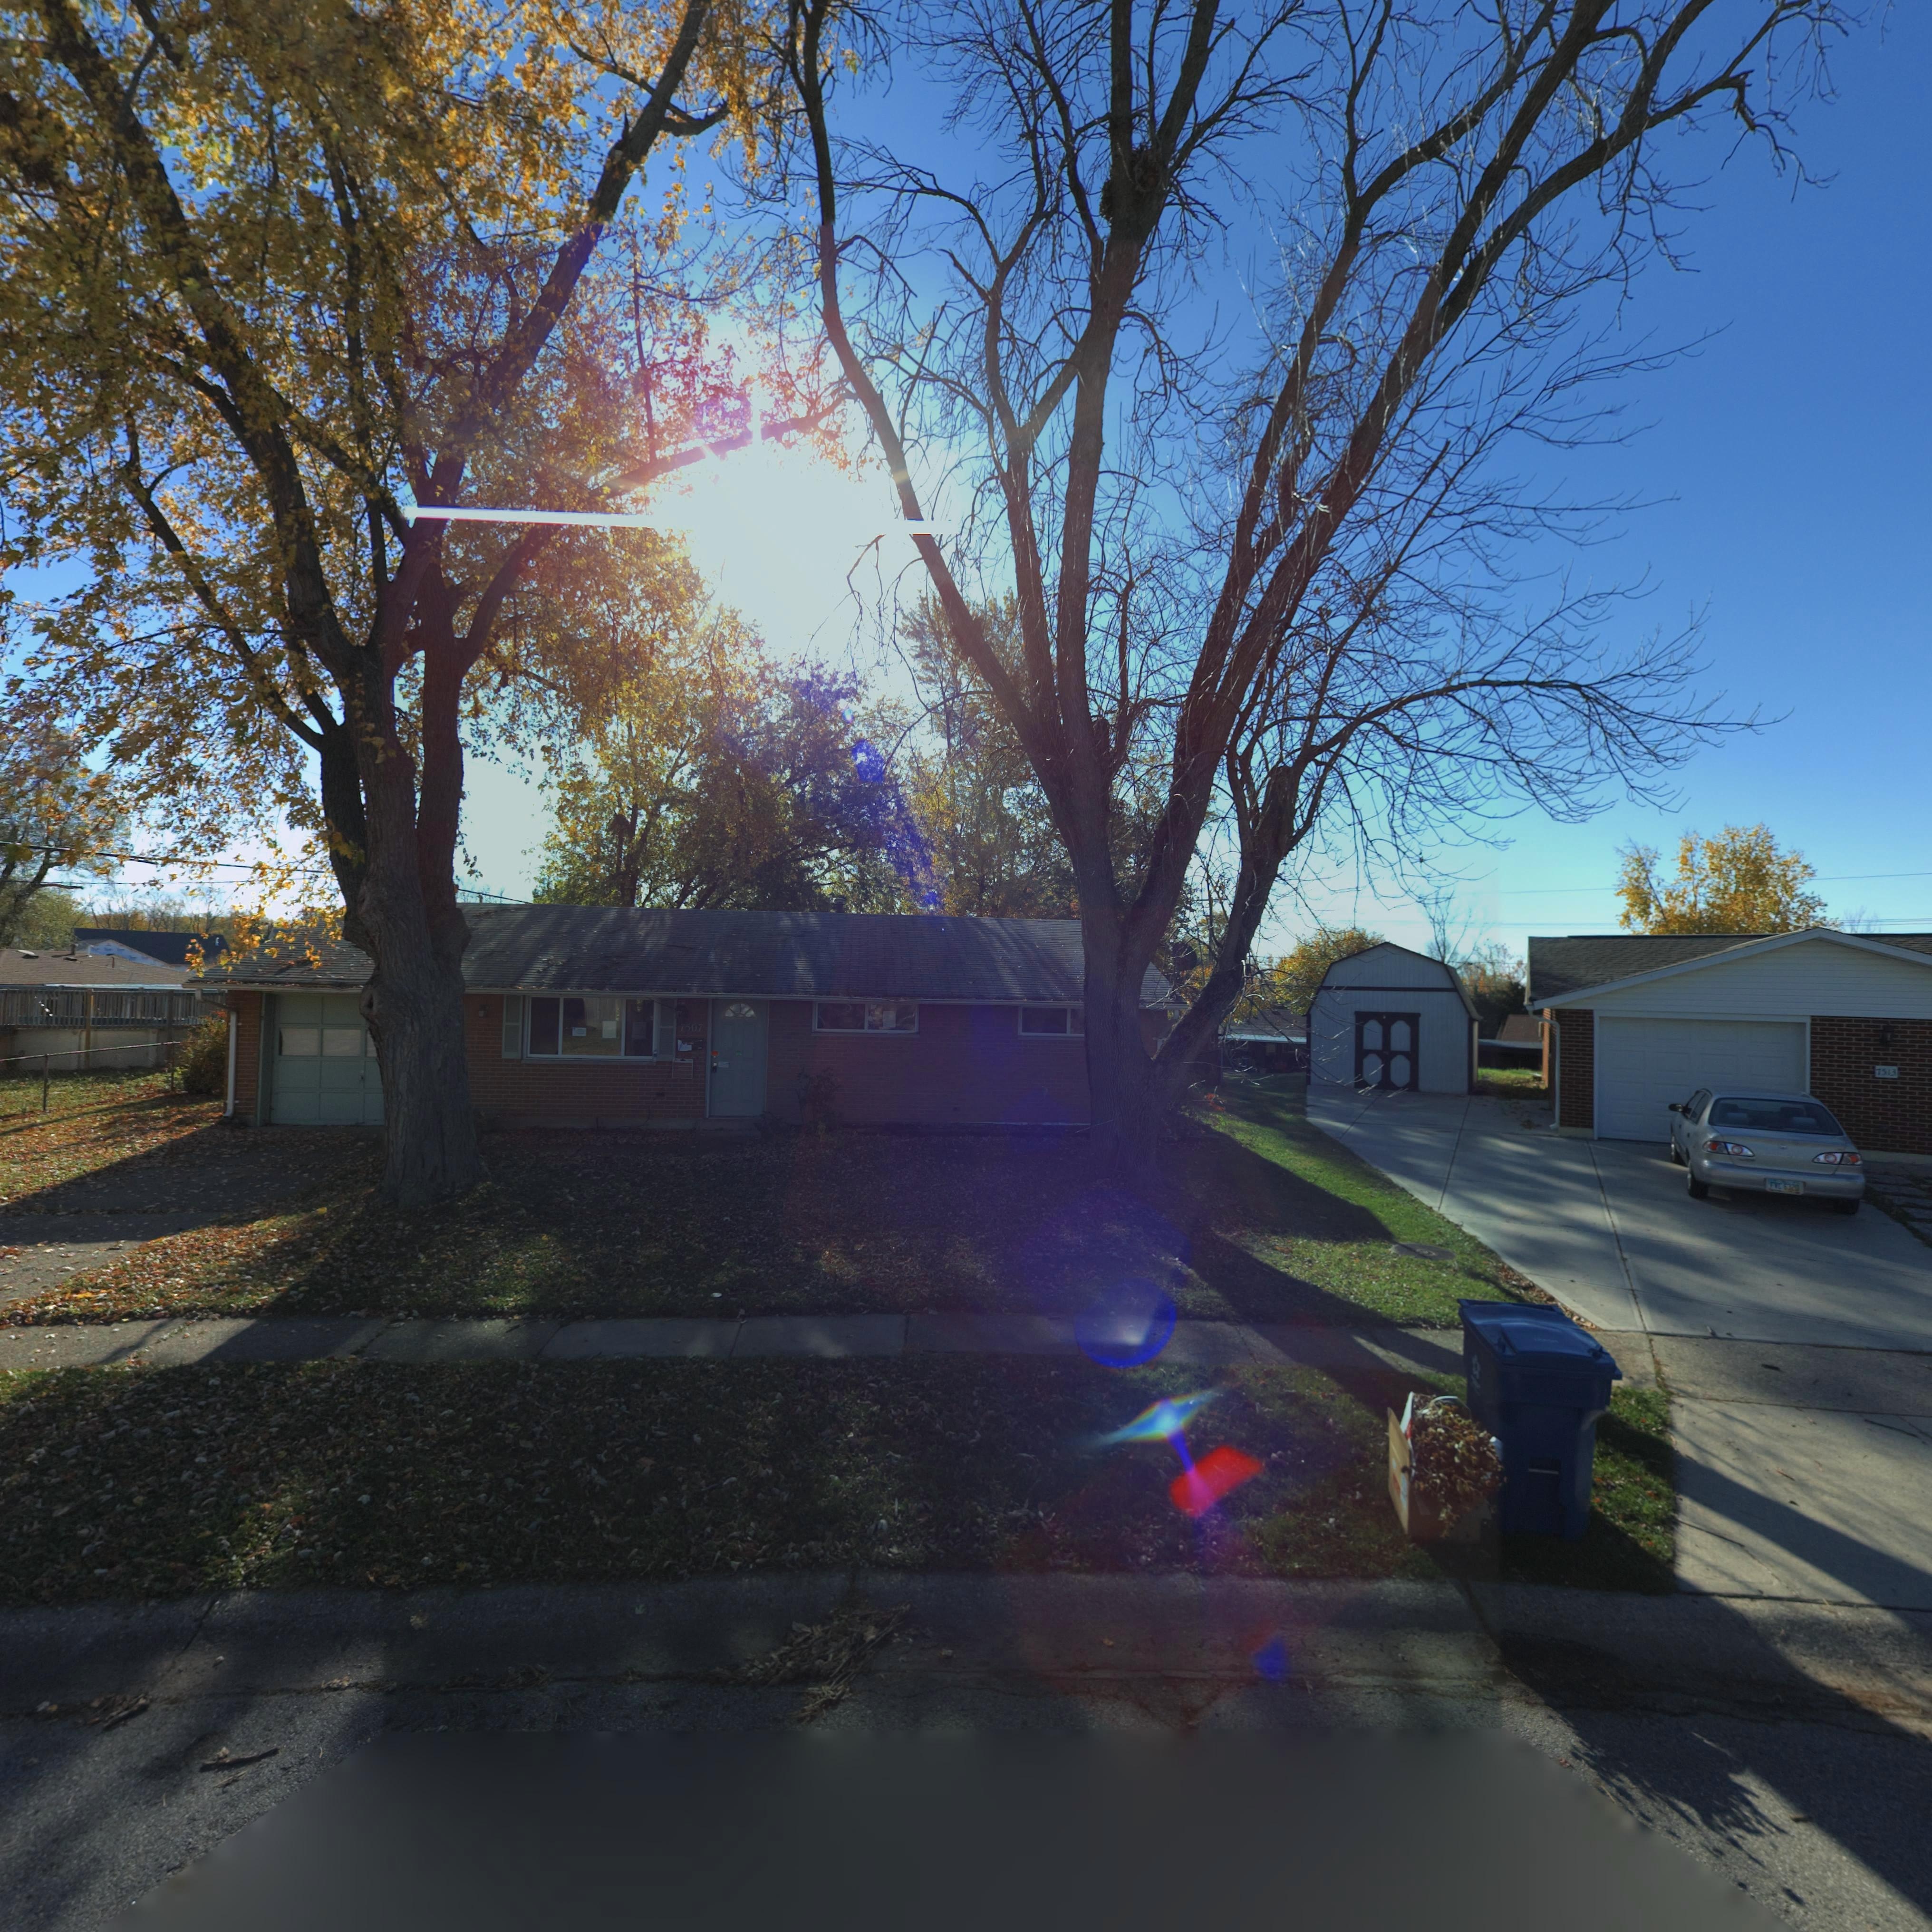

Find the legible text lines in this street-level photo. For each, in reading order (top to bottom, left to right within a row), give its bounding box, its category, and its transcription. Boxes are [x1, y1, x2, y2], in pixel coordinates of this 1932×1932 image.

[679, 1022, 705, 1033] StreetNumber: 7*07
[1875, 1067, 1898, 1077] StreetNumber: 7513